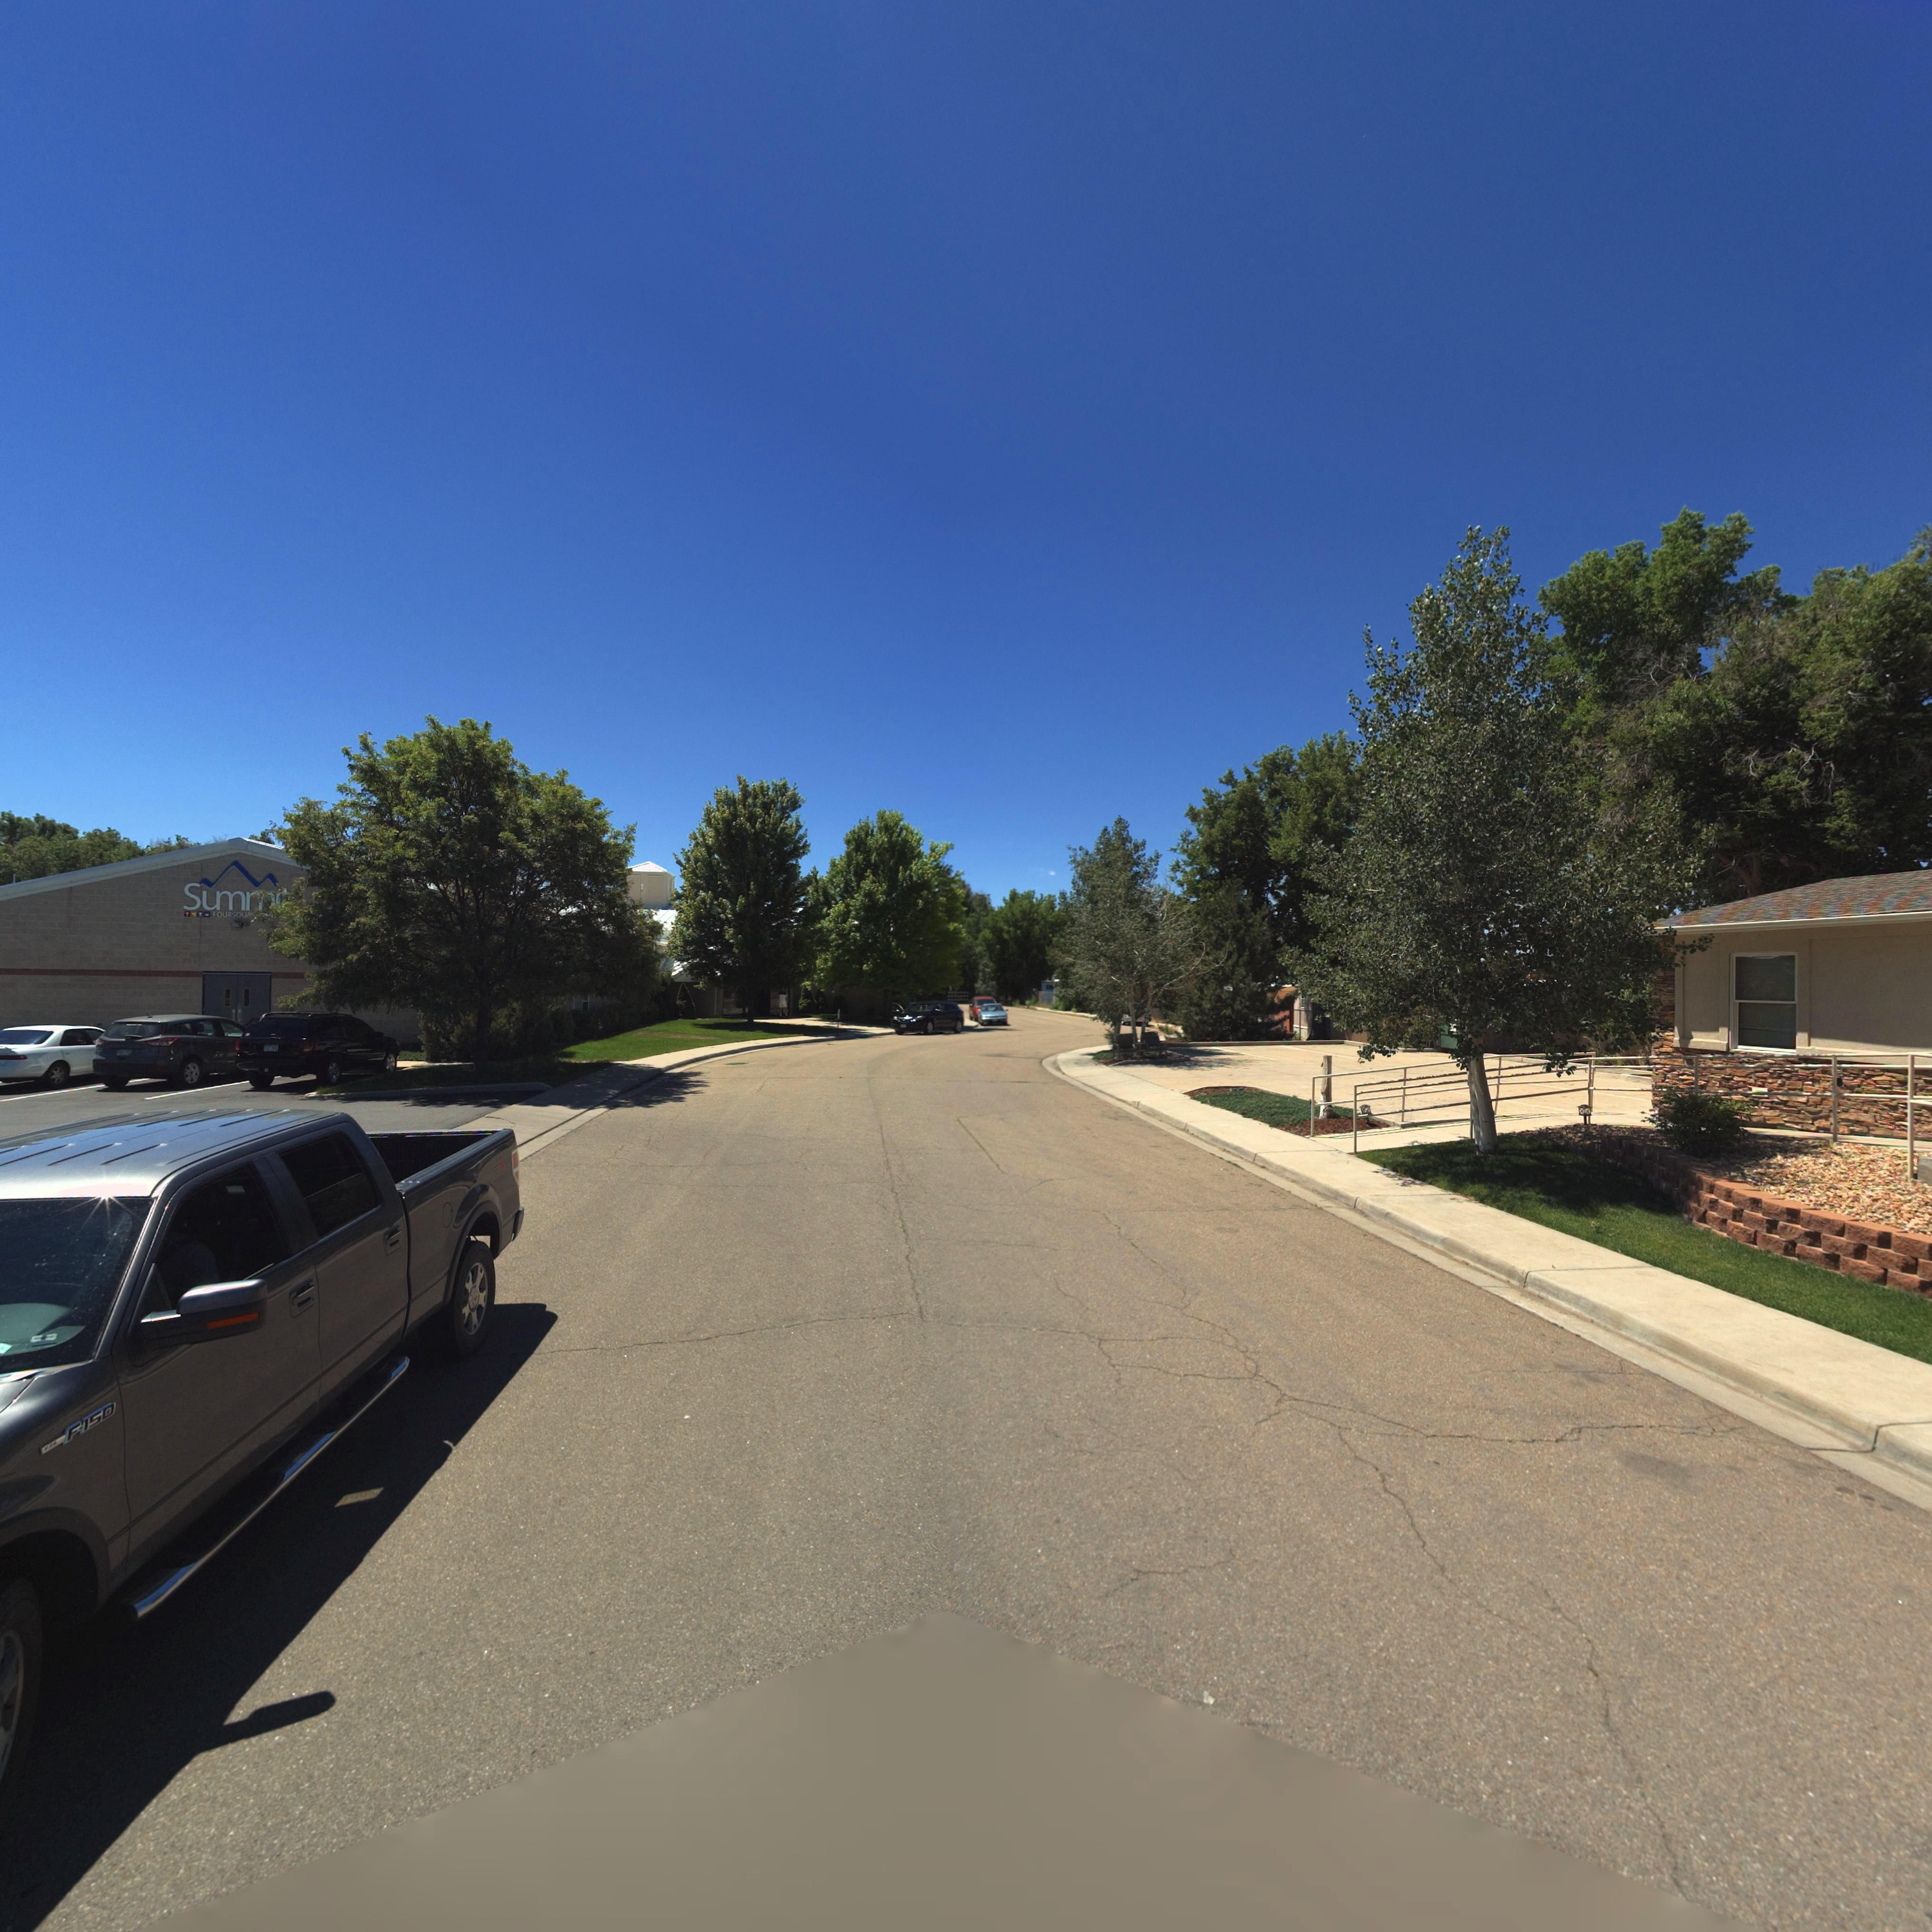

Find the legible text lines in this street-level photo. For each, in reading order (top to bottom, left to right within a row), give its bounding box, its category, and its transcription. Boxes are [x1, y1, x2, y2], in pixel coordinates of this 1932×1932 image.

[182, 881, 276, 913] BusinessName: Summ
[212, 911, 247, 918] BusinessName: FOURSQU